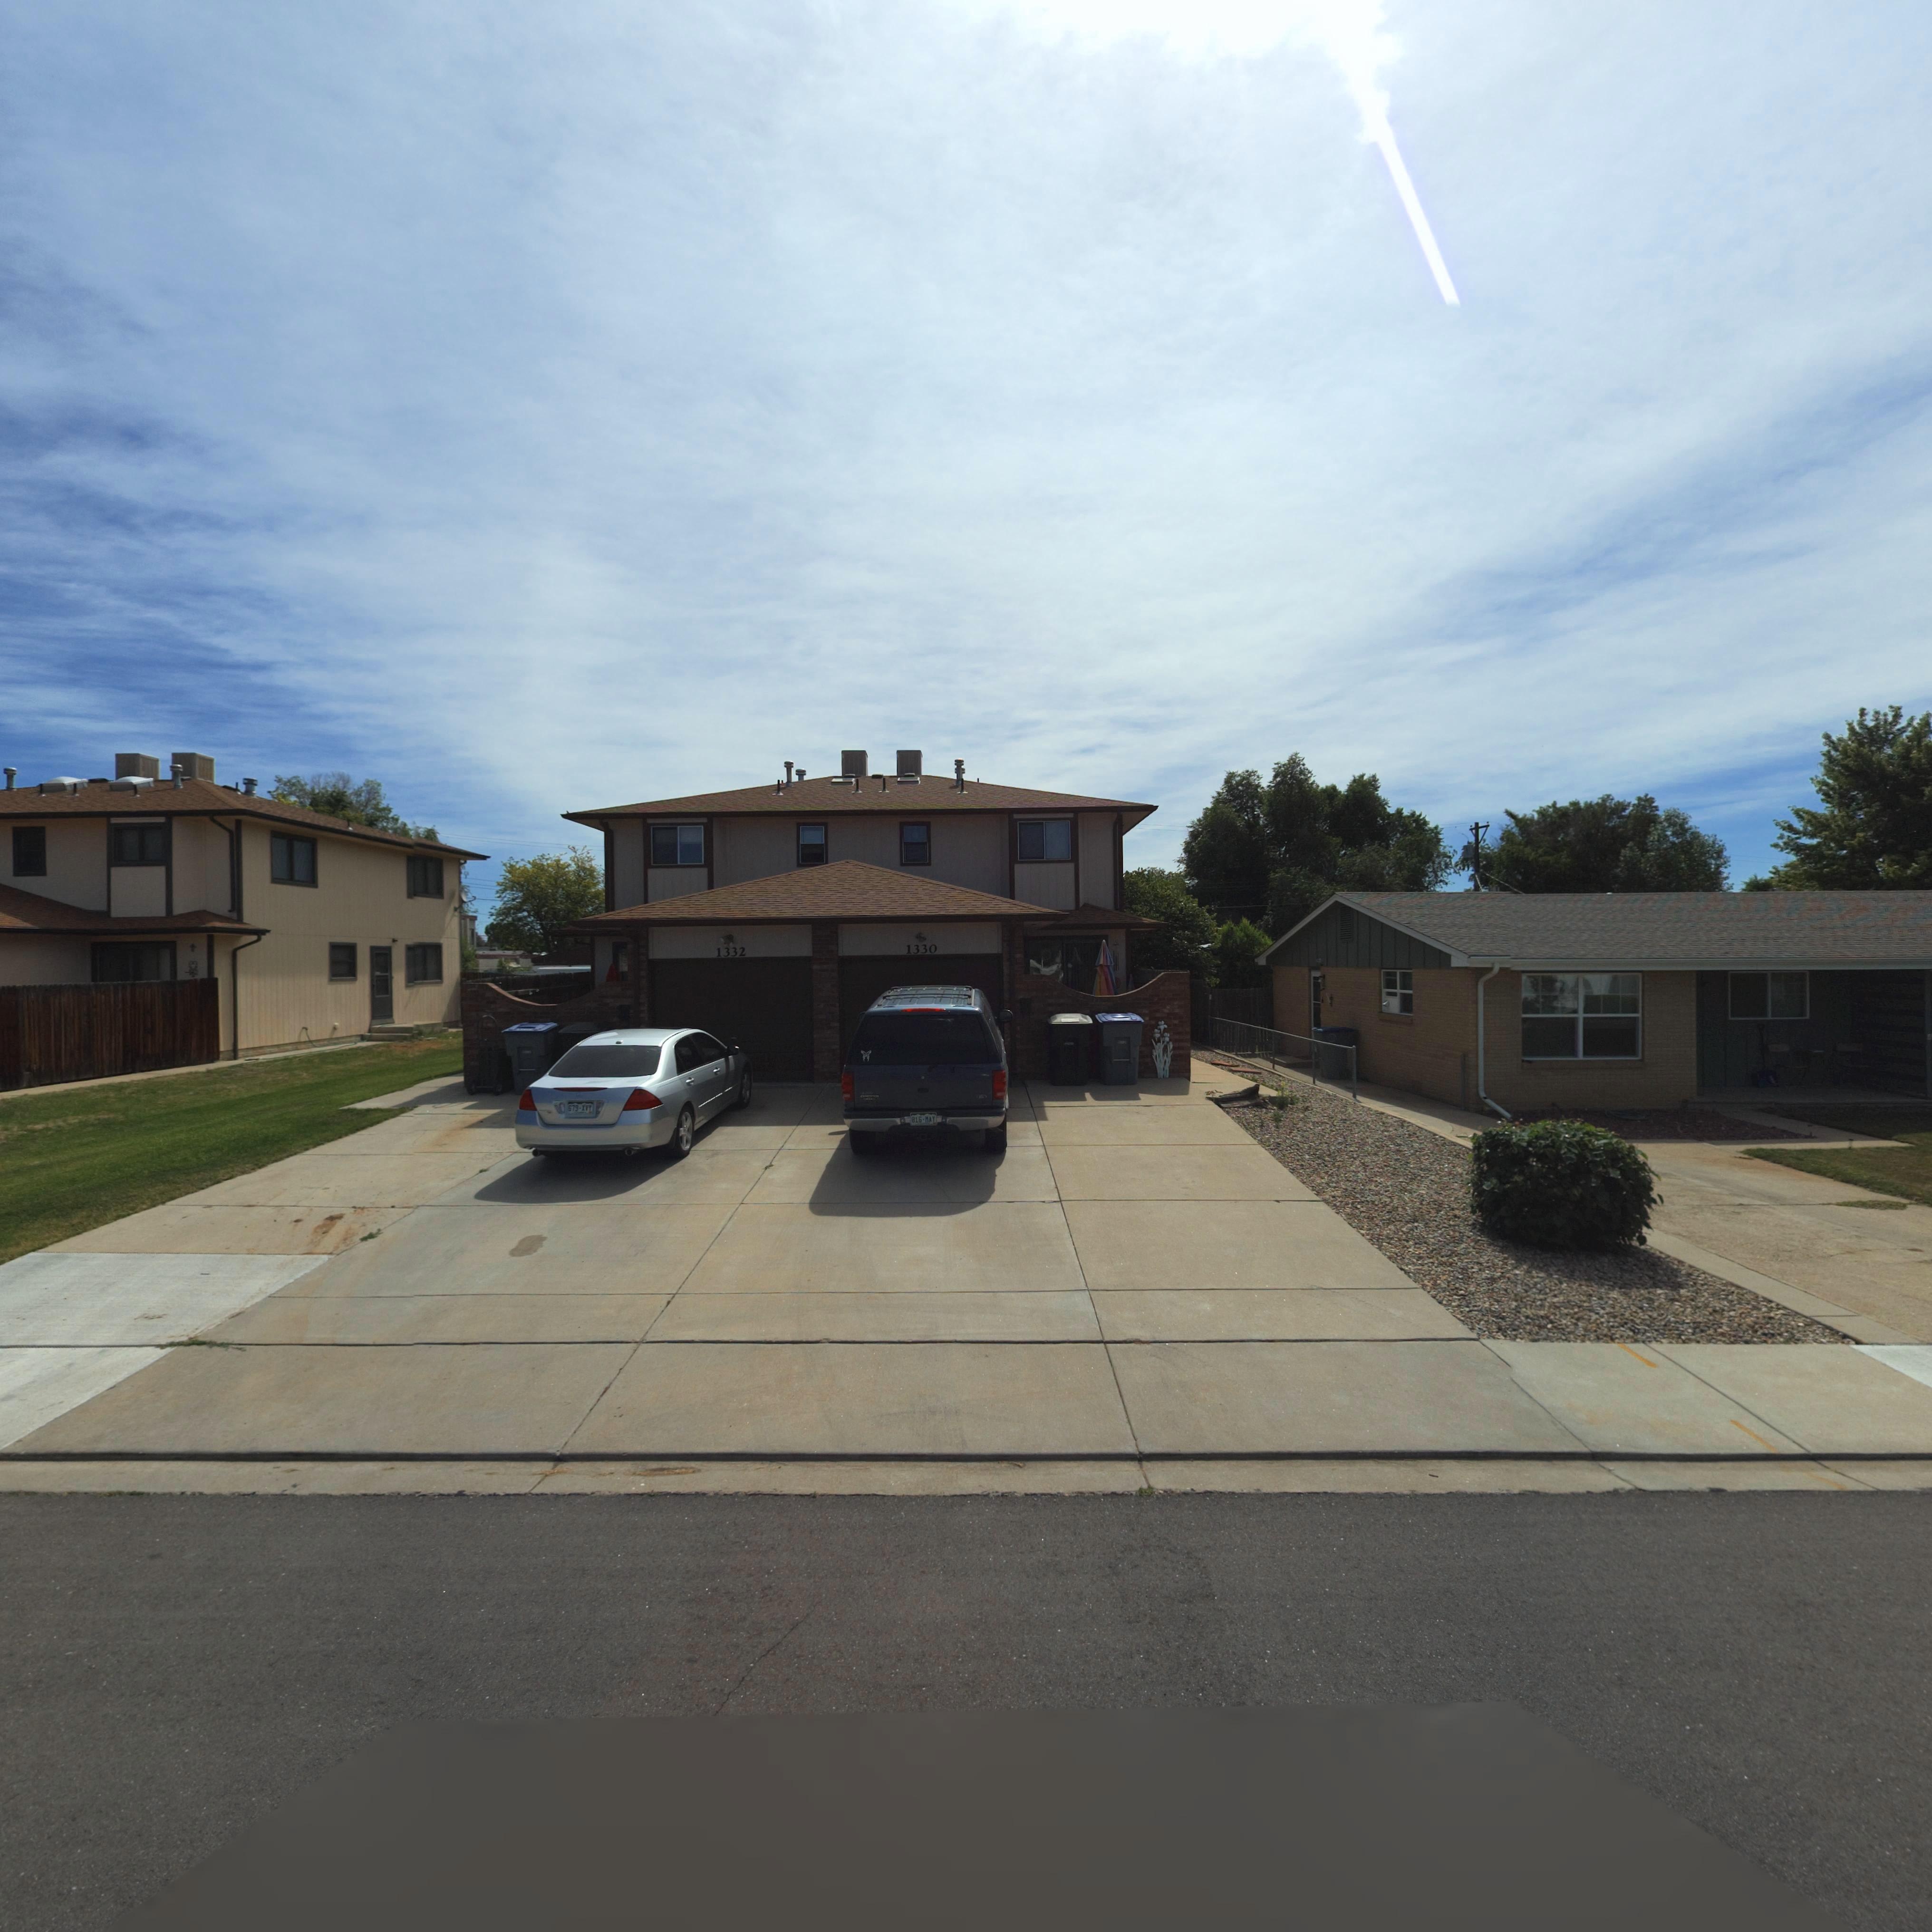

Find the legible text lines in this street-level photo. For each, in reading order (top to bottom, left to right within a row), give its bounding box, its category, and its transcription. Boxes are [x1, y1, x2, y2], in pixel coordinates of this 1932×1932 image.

[716, 946, 746, 957] StreetNumber: 1332
[906, 944, 937, 954] StreetNumber: 1330